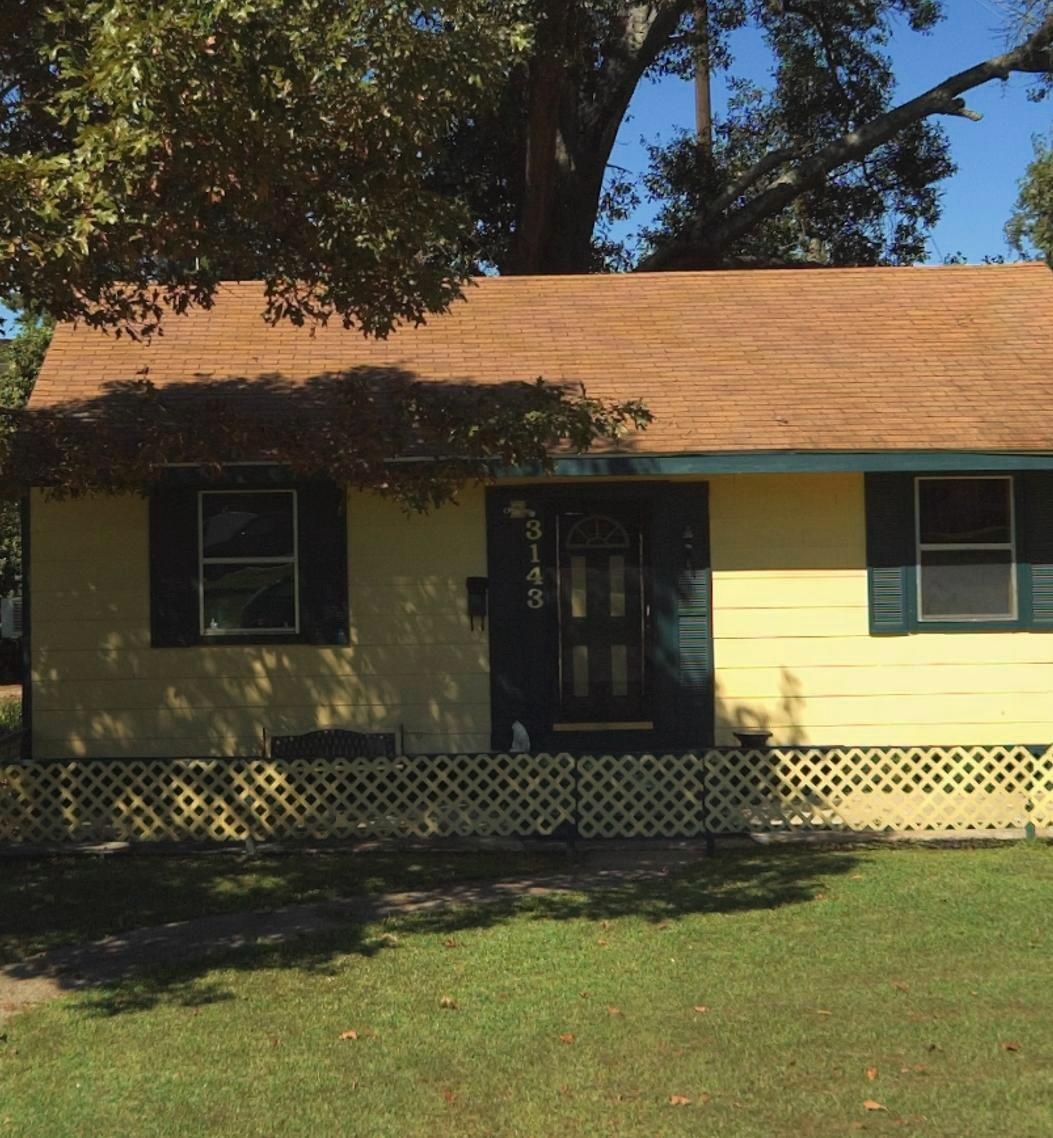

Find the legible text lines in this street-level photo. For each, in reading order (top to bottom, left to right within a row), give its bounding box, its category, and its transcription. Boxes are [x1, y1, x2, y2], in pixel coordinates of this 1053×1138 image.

[523, 518, 546, 611] StreetNumber: 3143